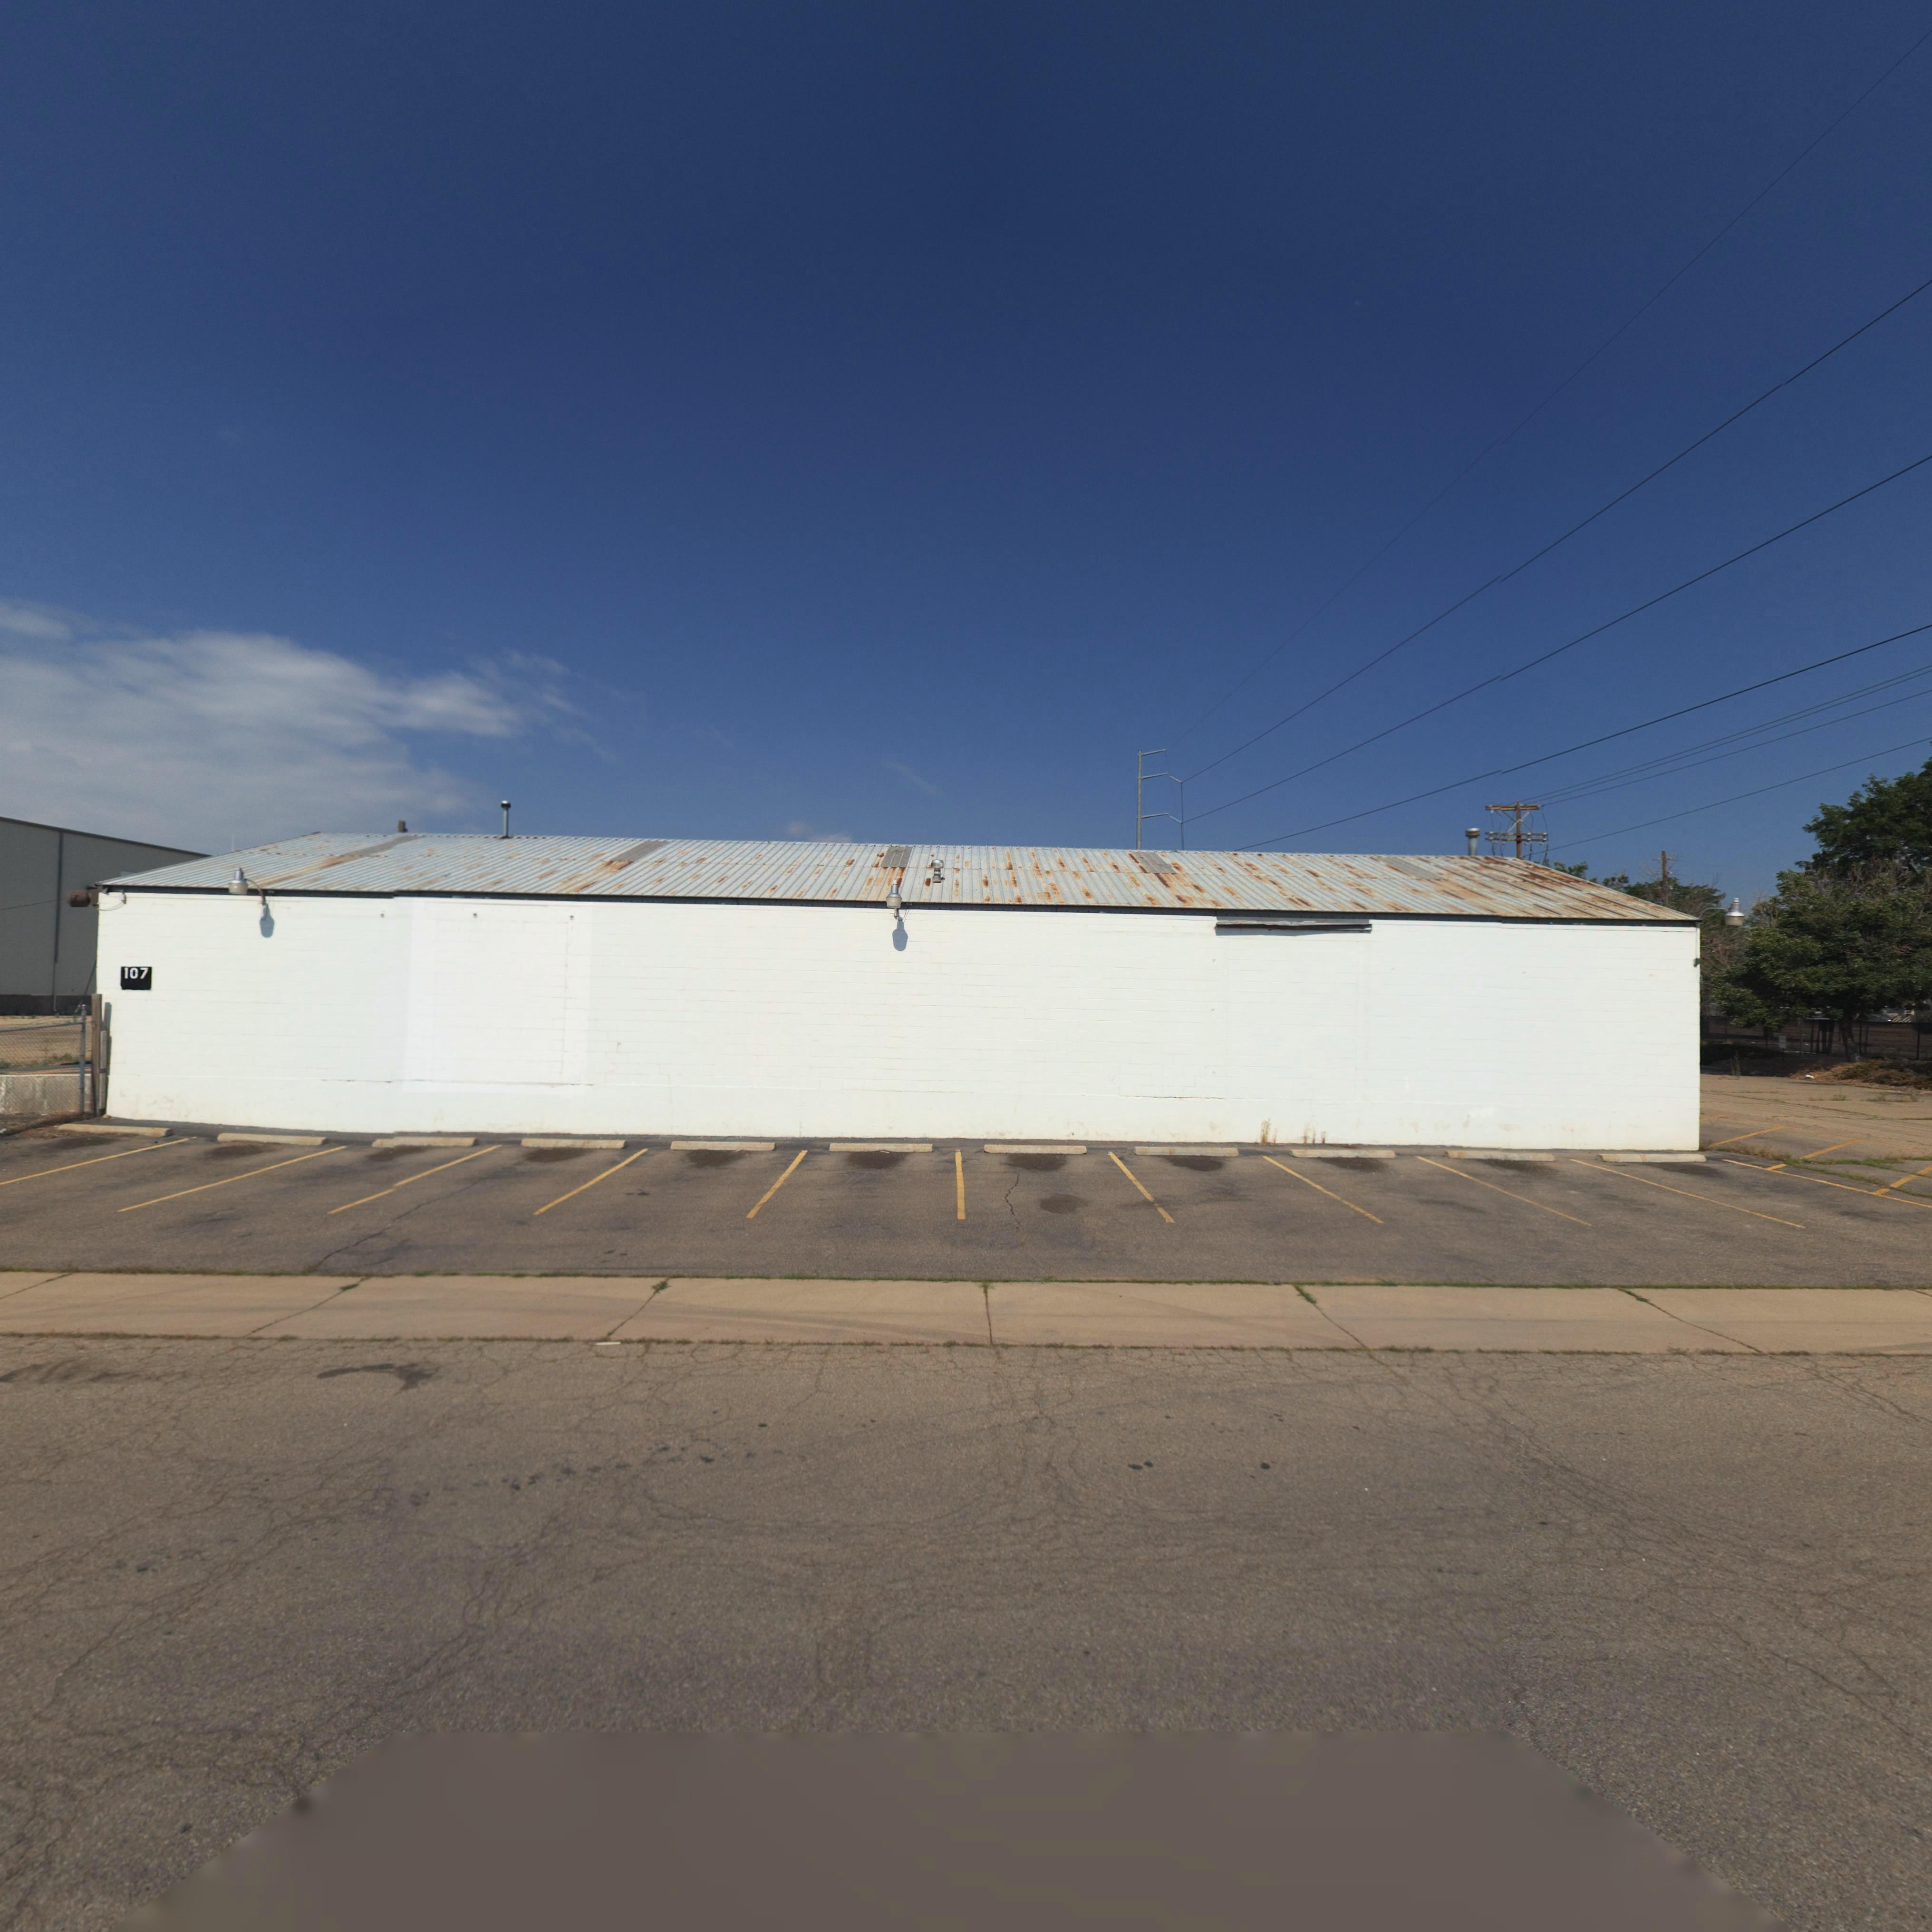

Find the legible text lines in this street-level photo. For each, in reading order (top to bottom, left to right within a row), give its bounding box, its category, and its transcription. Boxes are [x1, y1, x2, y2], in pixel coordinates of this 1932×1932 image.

[124, 967, 148, 979] StreetNumber: 107